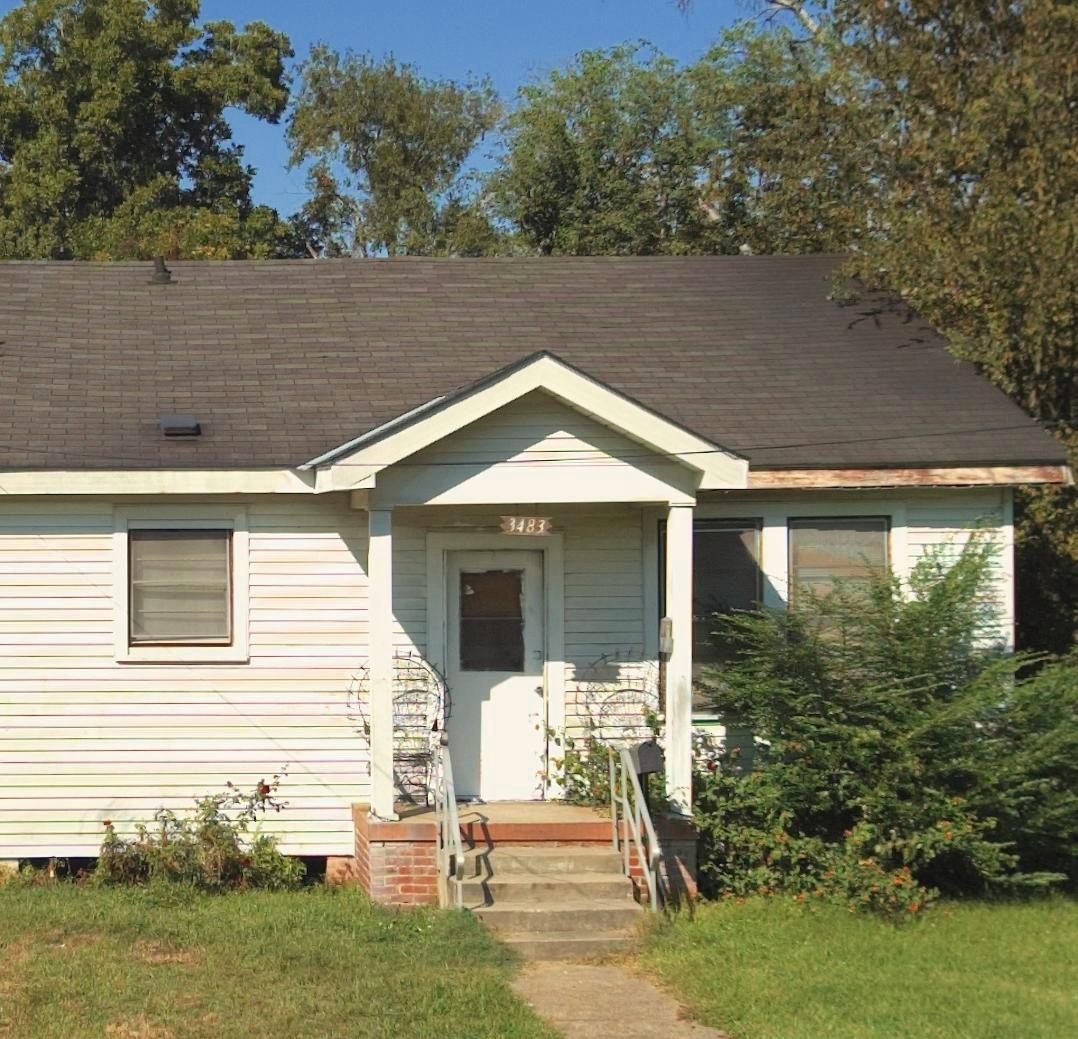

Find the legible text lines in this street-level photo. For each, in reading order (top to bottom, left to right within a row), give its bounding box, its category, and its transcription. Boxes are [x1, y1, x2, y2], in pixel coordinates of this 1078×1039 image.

[507, 515, 546, 536] StreetNumber: 3483